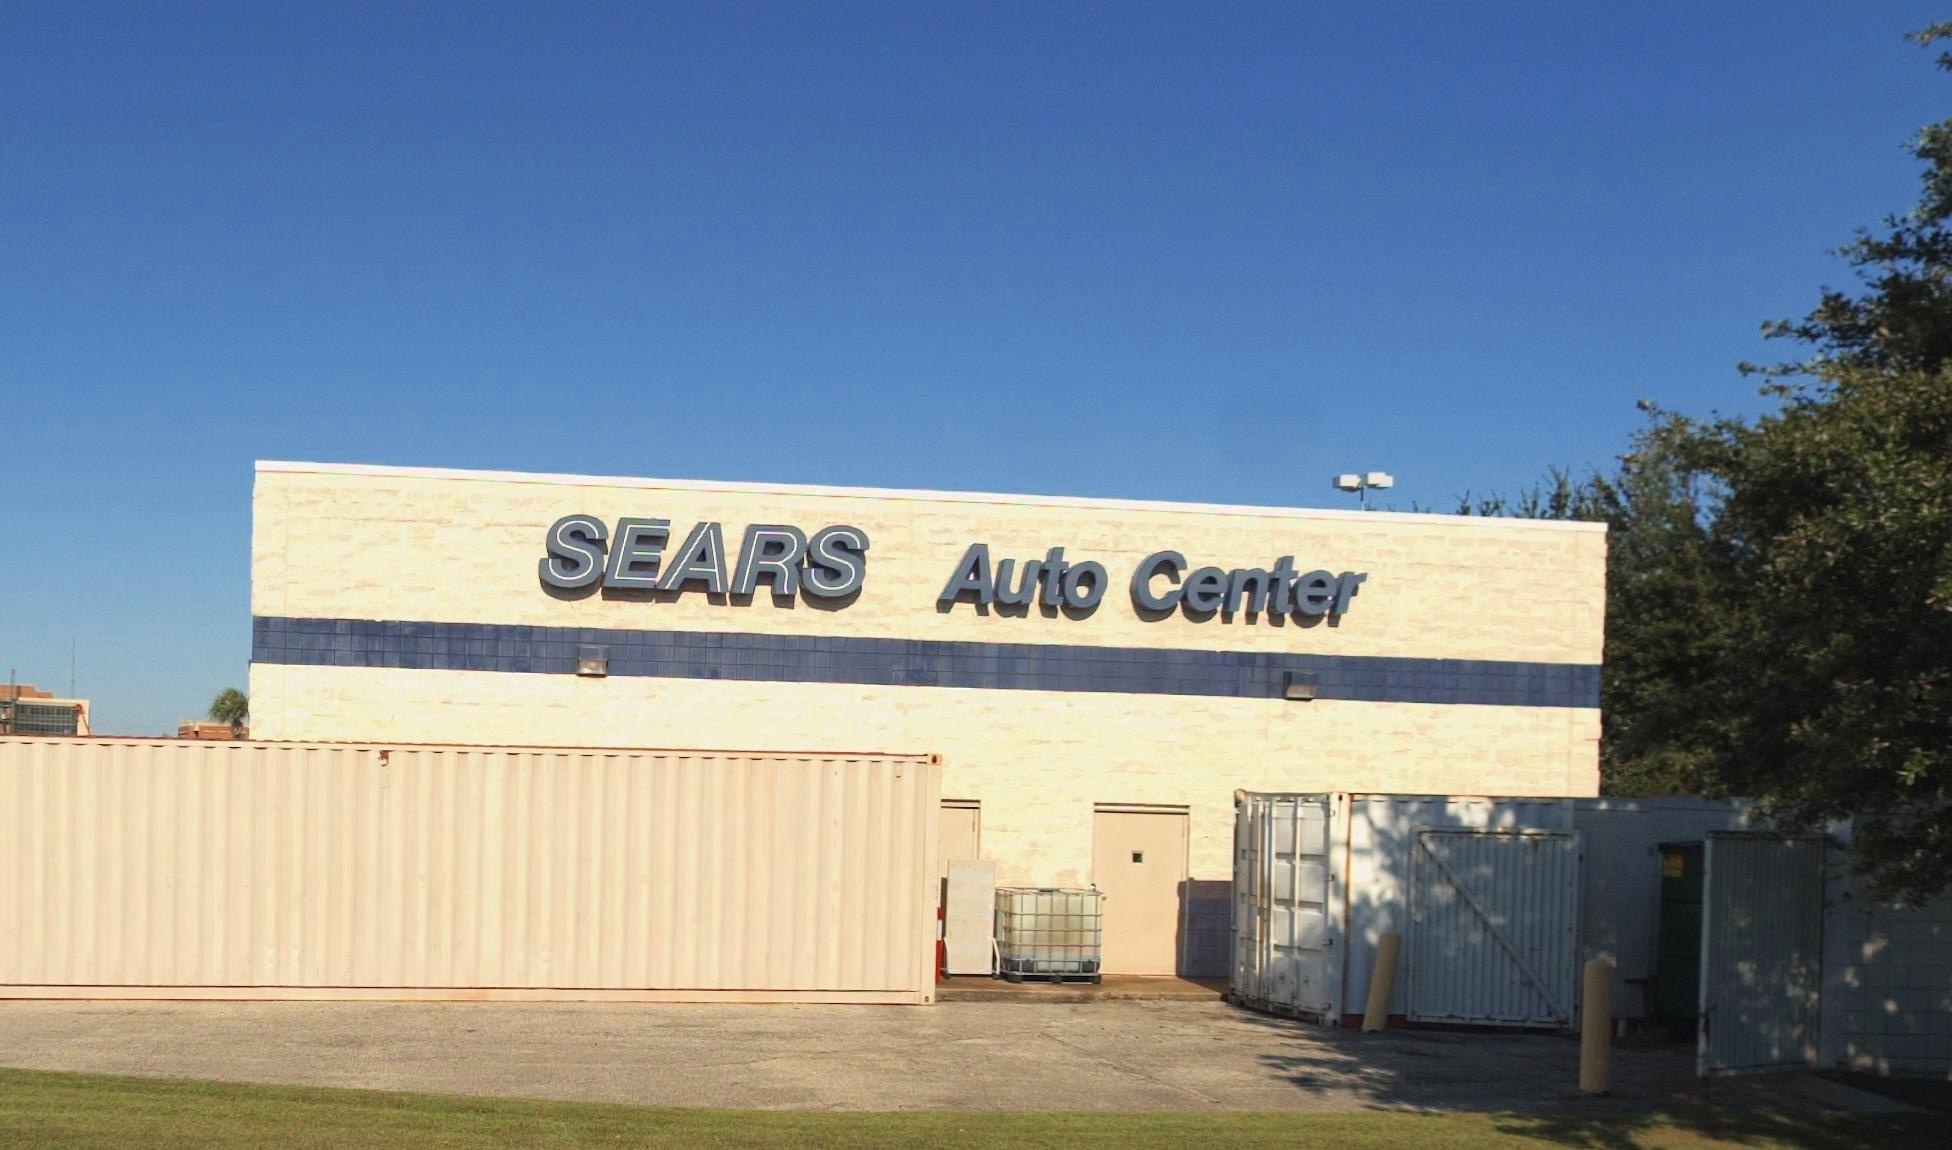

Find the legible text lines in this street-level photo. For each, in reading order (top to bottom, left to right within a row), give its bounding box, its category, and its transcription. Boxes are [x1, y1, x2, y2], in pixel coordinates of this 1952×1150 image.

[527, 508, 1374, 623] BusinessName: SEARS Auto Center